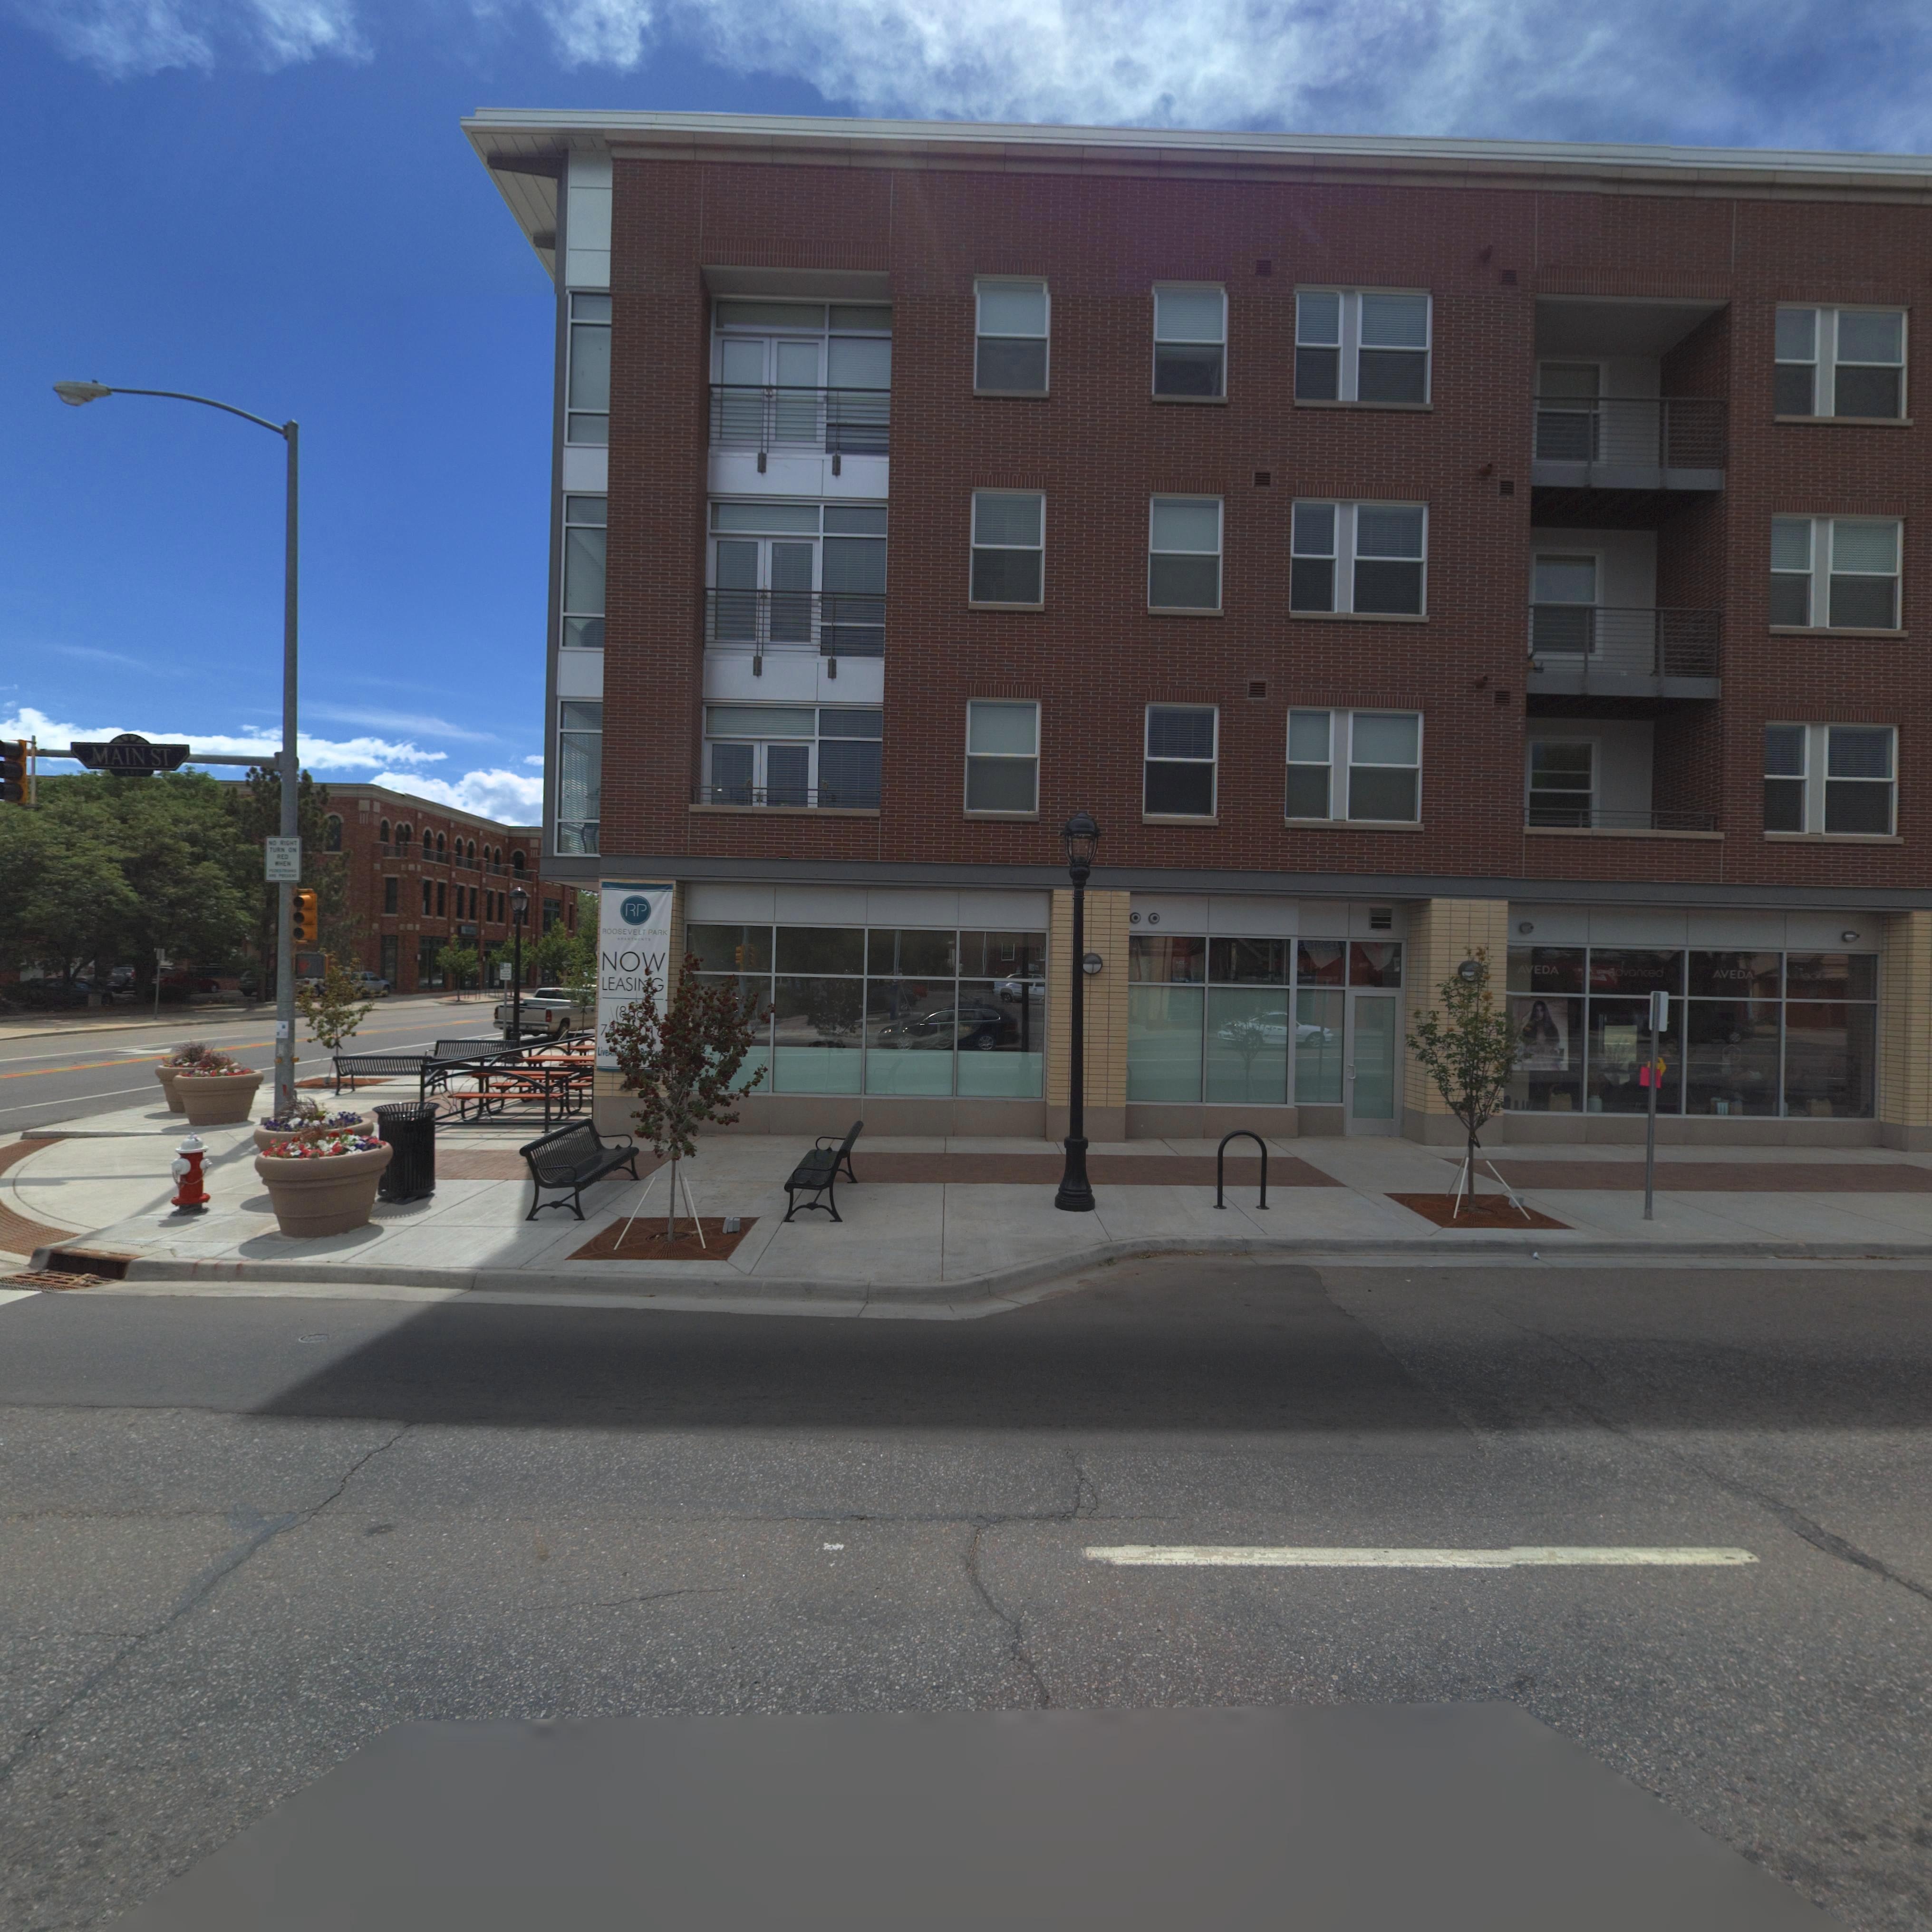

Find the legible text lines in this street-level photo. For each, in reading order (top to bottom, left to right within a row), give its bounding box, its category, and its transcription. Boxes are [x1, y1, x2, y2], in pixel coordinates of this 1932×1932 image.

[91, 746, 171, 766] StreetName: MAIN ST